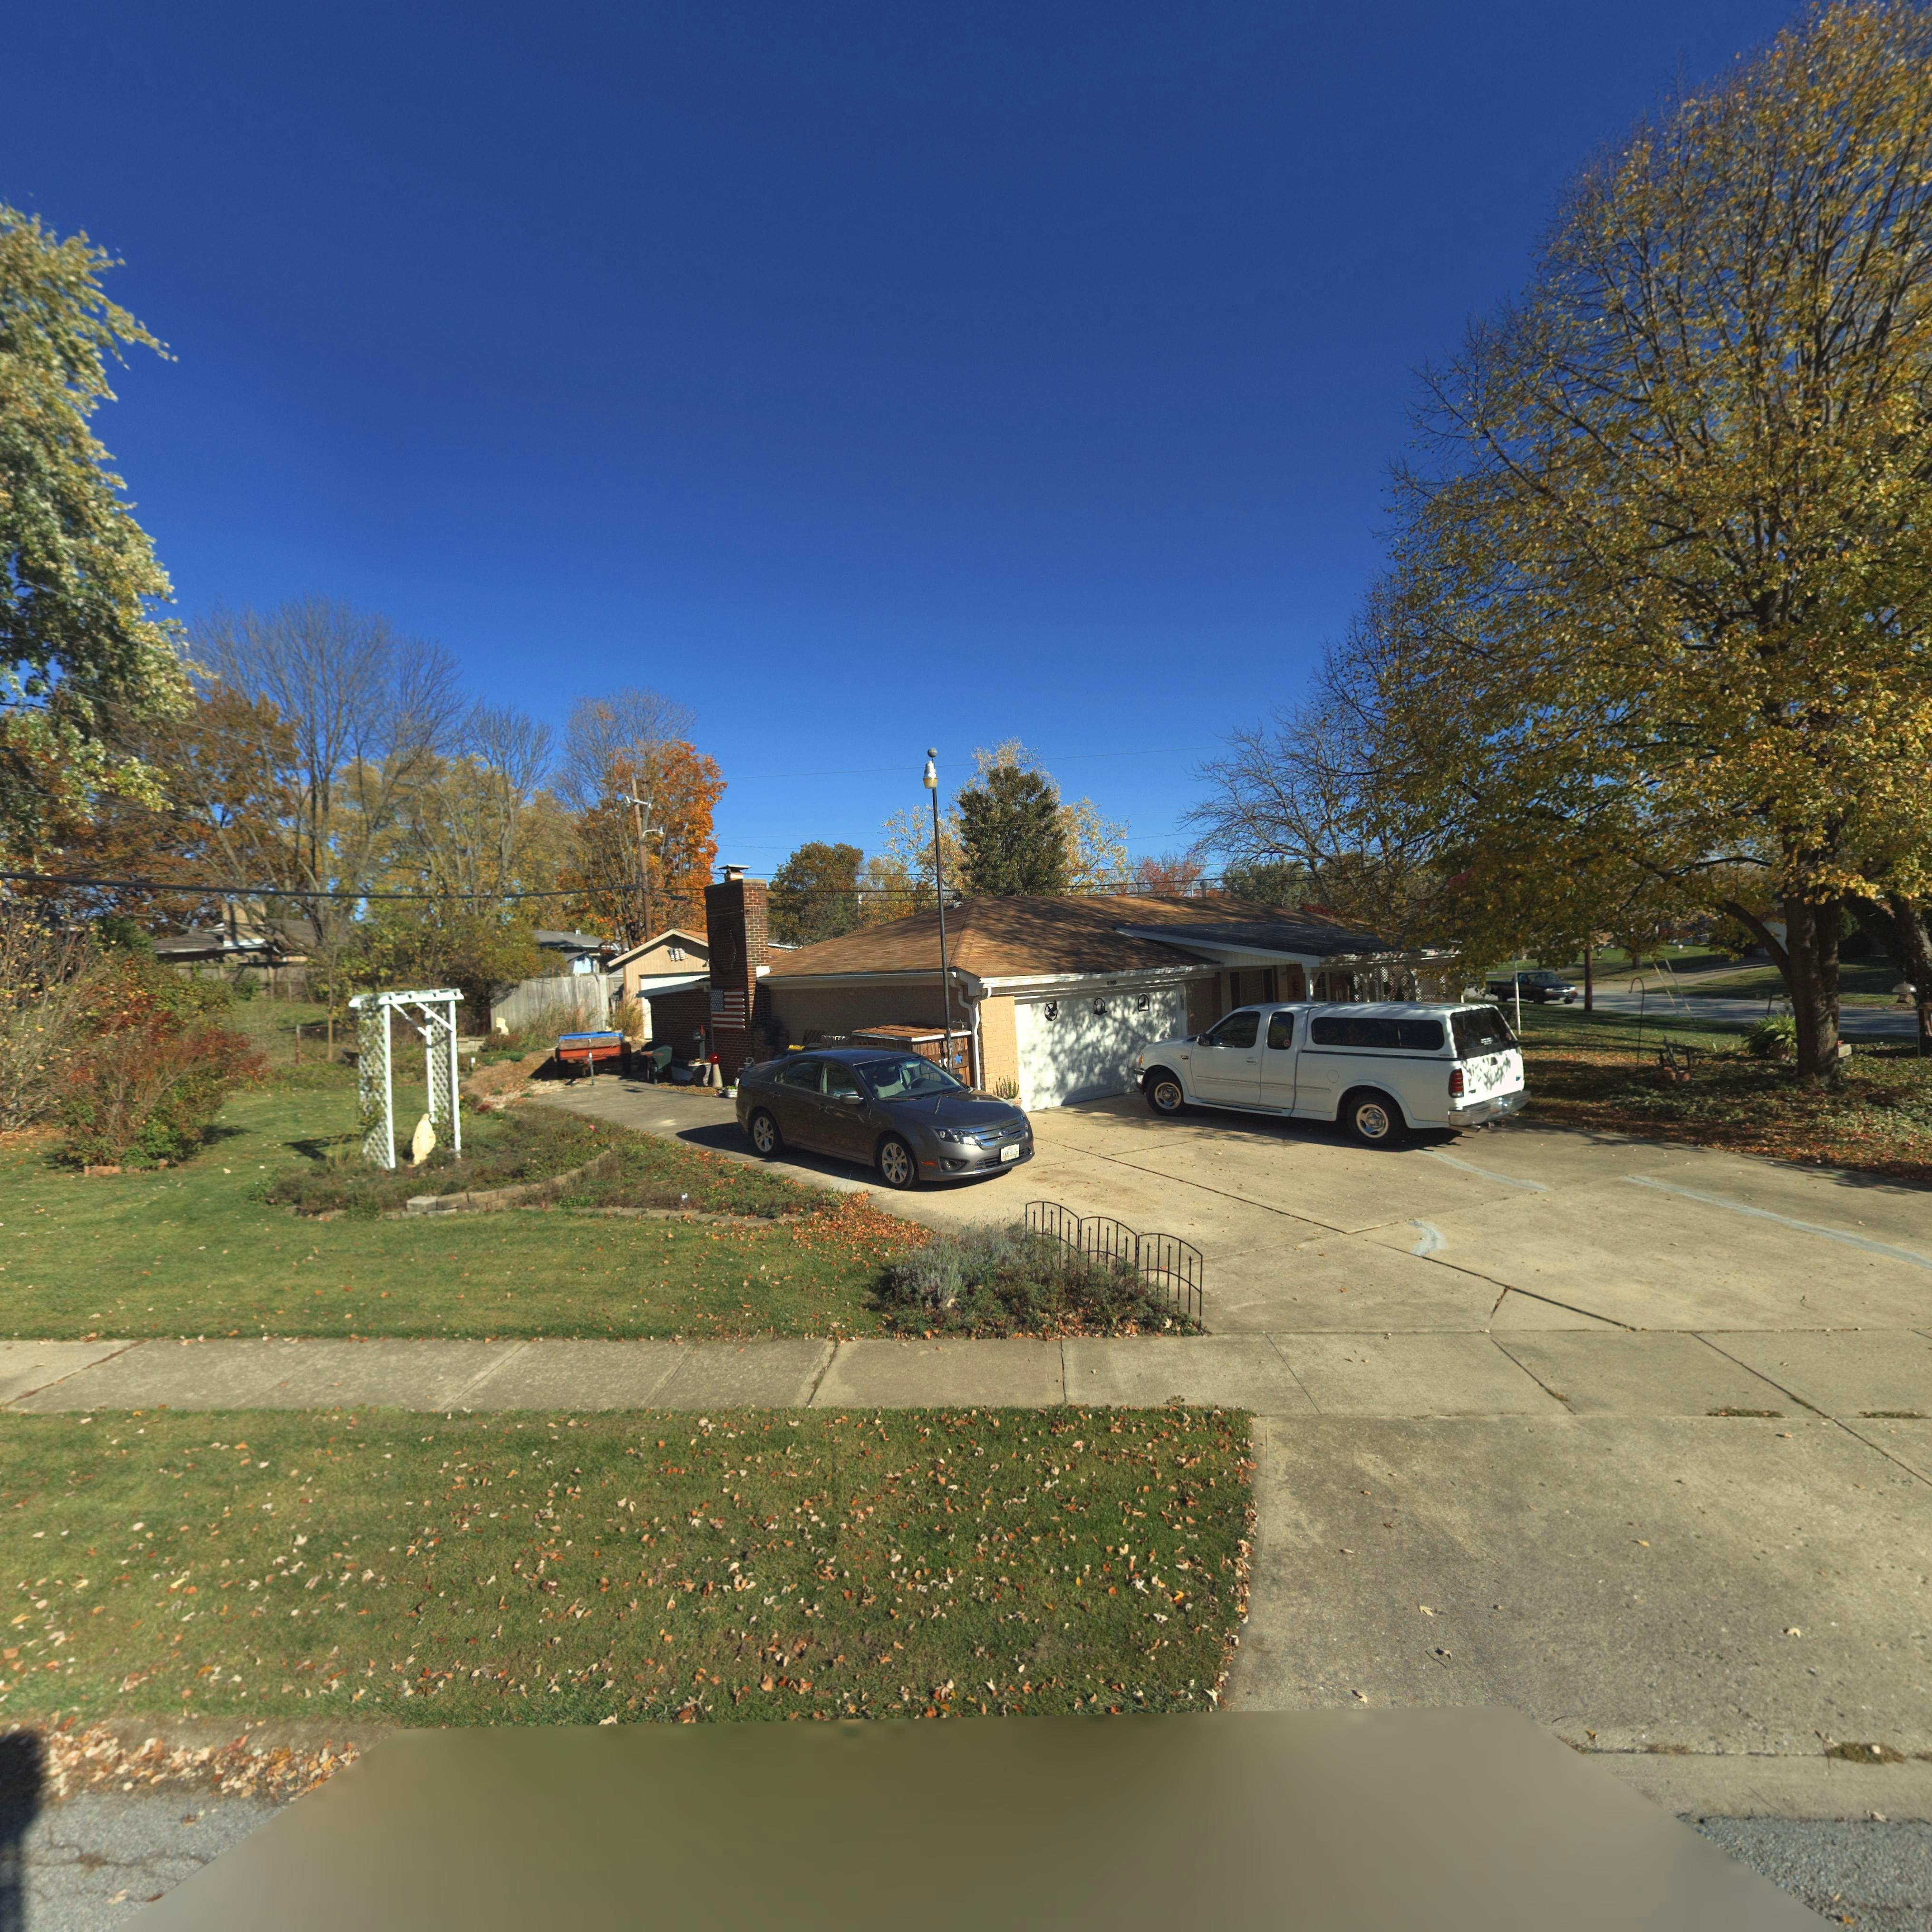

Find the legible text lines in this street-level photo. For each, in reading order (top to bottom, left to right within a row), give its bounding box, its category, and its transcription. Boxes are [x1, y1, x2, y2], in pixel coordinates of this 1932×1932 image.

[1106, 980, 1117, 986] StreetNumber: 6900